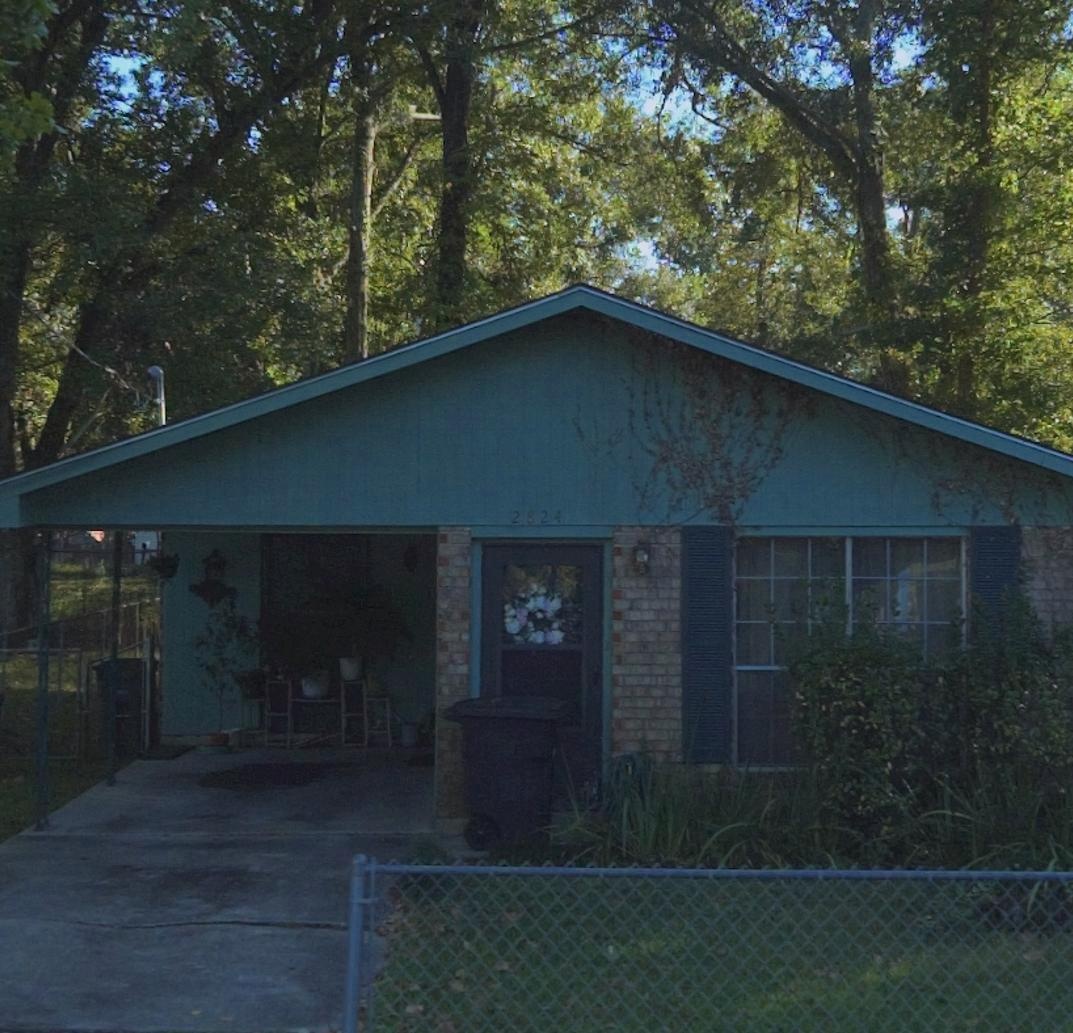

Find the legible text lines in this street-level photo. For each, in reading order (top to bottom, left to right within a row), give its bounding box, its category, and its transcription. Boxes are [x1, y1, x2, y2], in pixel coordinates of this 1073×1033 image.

[510, 507, 564, 525] StreetNumber: 2824